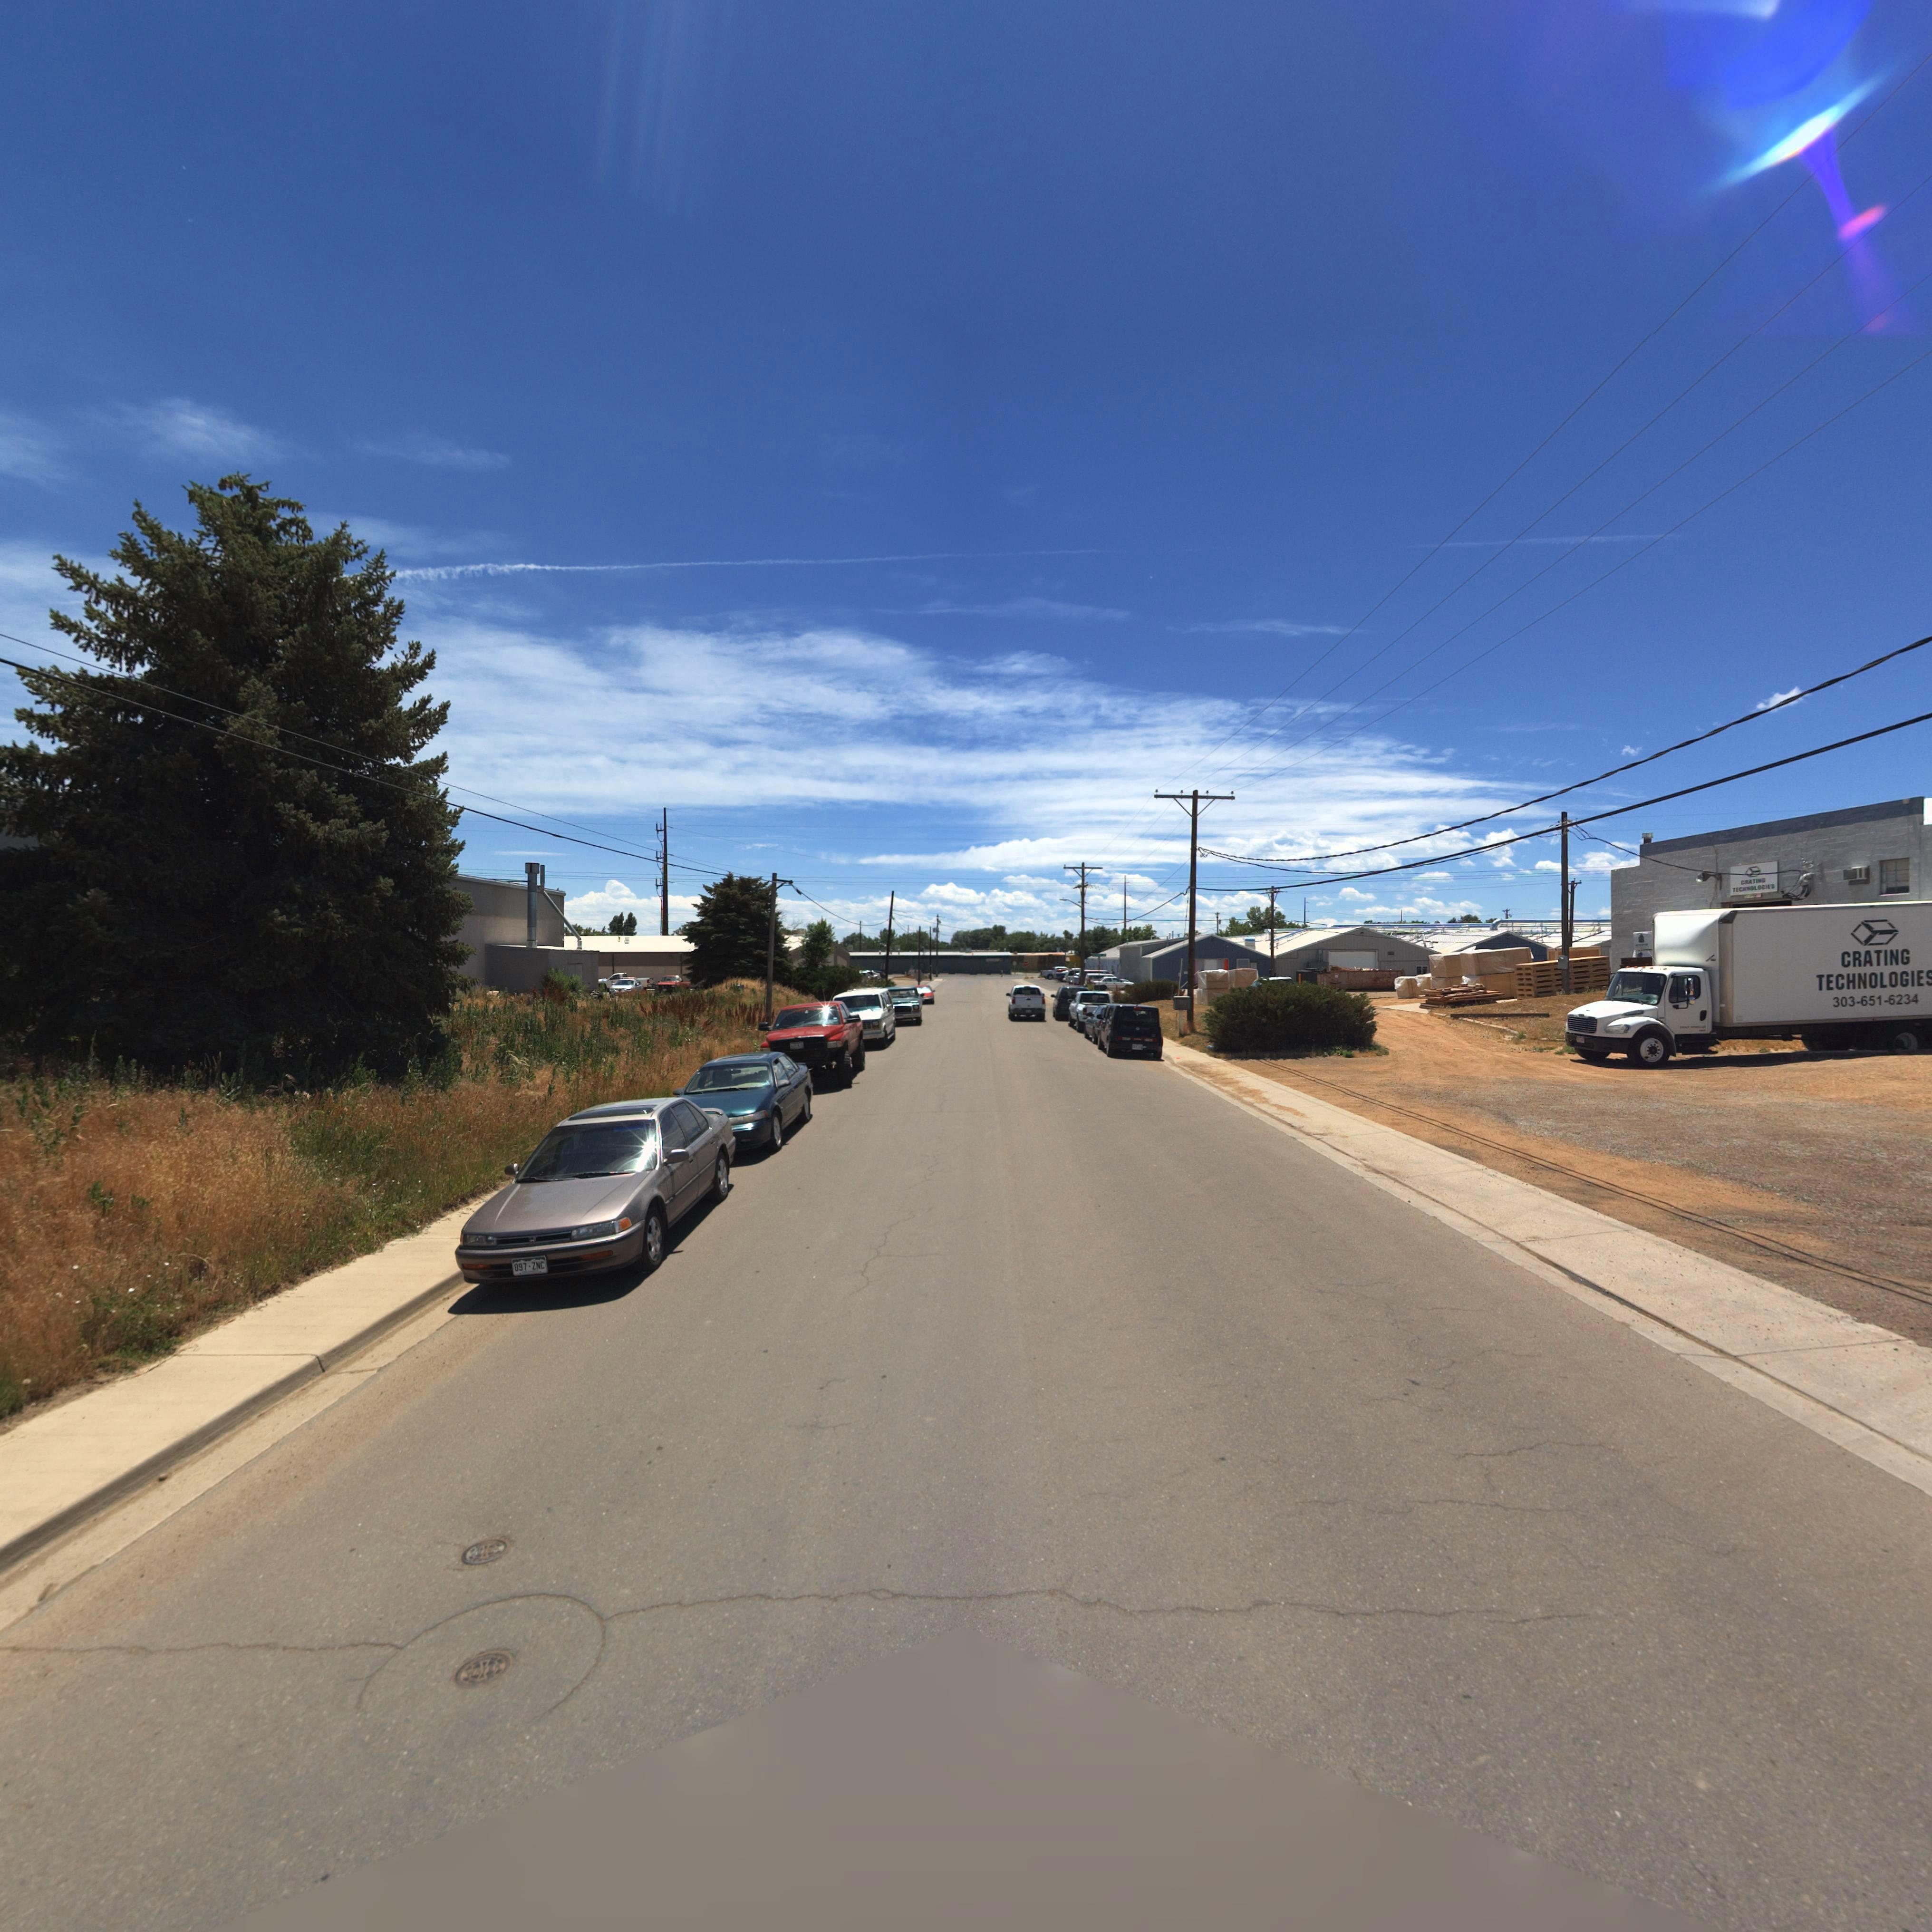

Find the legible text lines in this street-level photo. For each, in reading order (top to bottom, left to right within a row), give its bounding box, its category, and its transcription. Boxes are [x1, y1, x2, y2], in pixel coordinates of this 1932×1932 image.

[1740, 877, 1766, 885] BusinessName: CRATING
[1731, 883, 1775, 892] BusinessName: TECH*OLOGIES